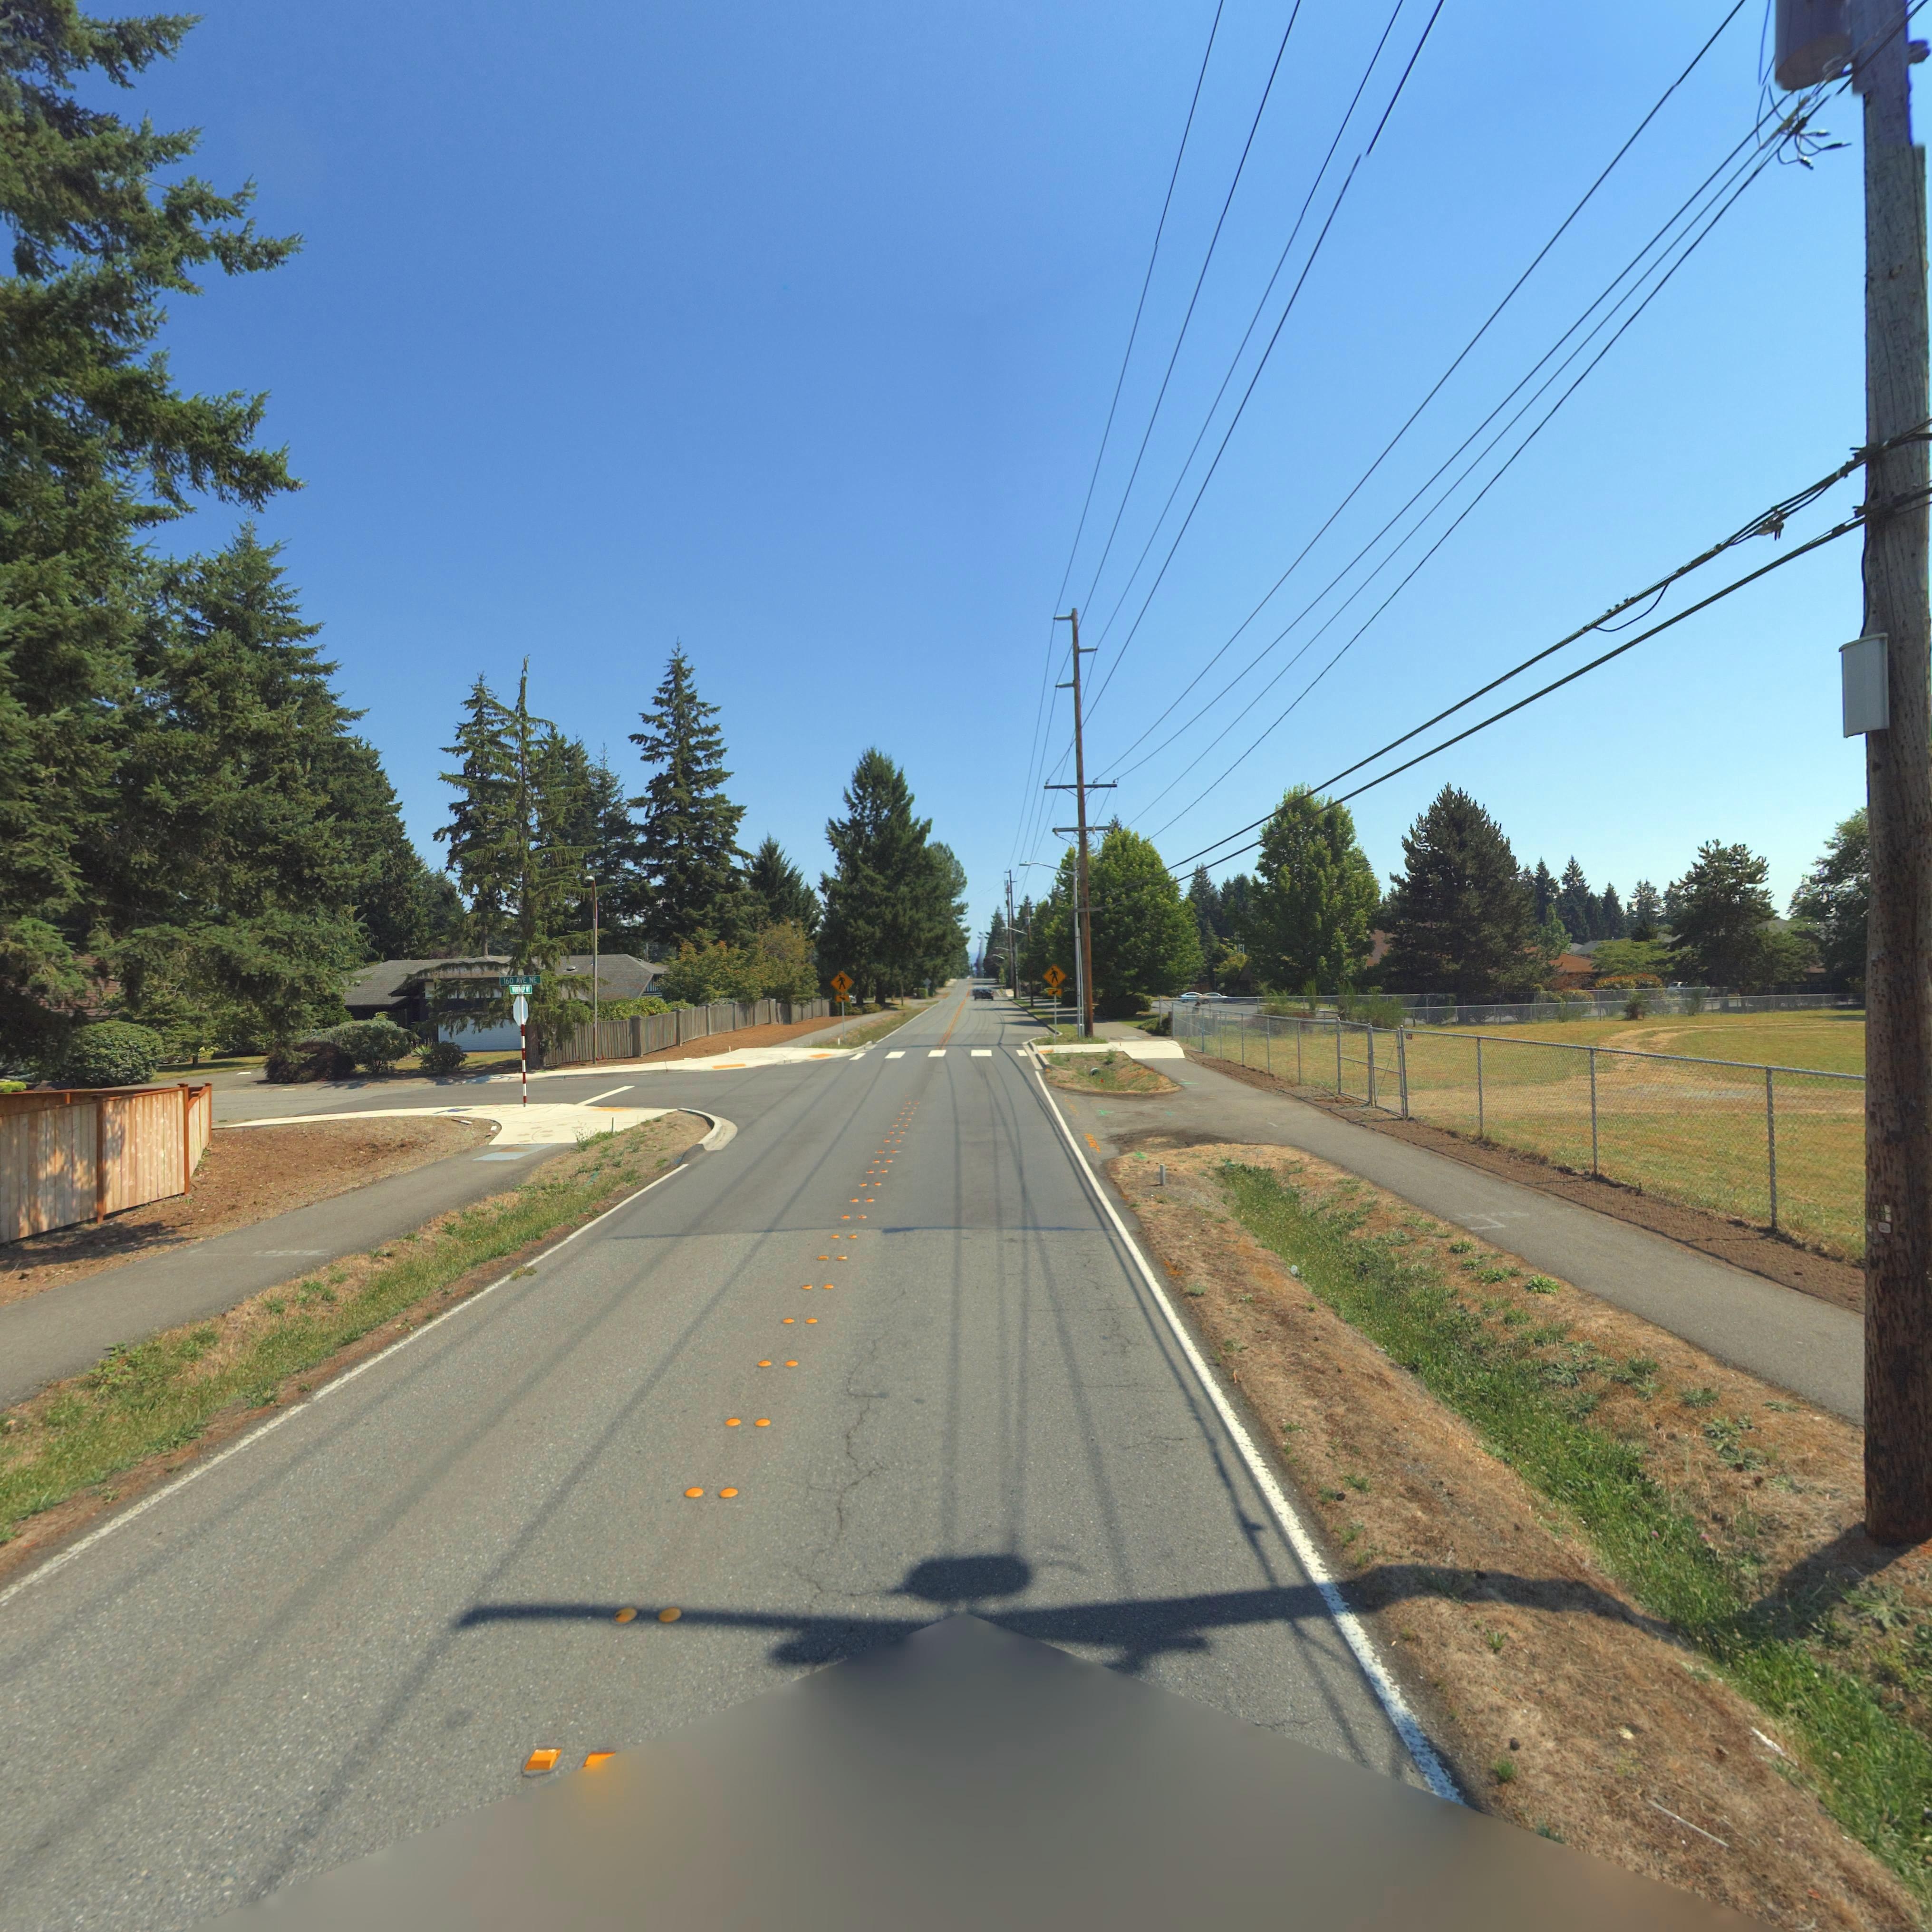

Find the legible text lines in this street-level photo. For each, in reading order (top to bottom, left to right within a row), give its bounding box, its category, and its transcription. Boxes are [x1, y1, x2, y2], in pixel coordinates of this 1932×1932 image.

[503, 976, 537, 984] StreetName: 160 AVE NE